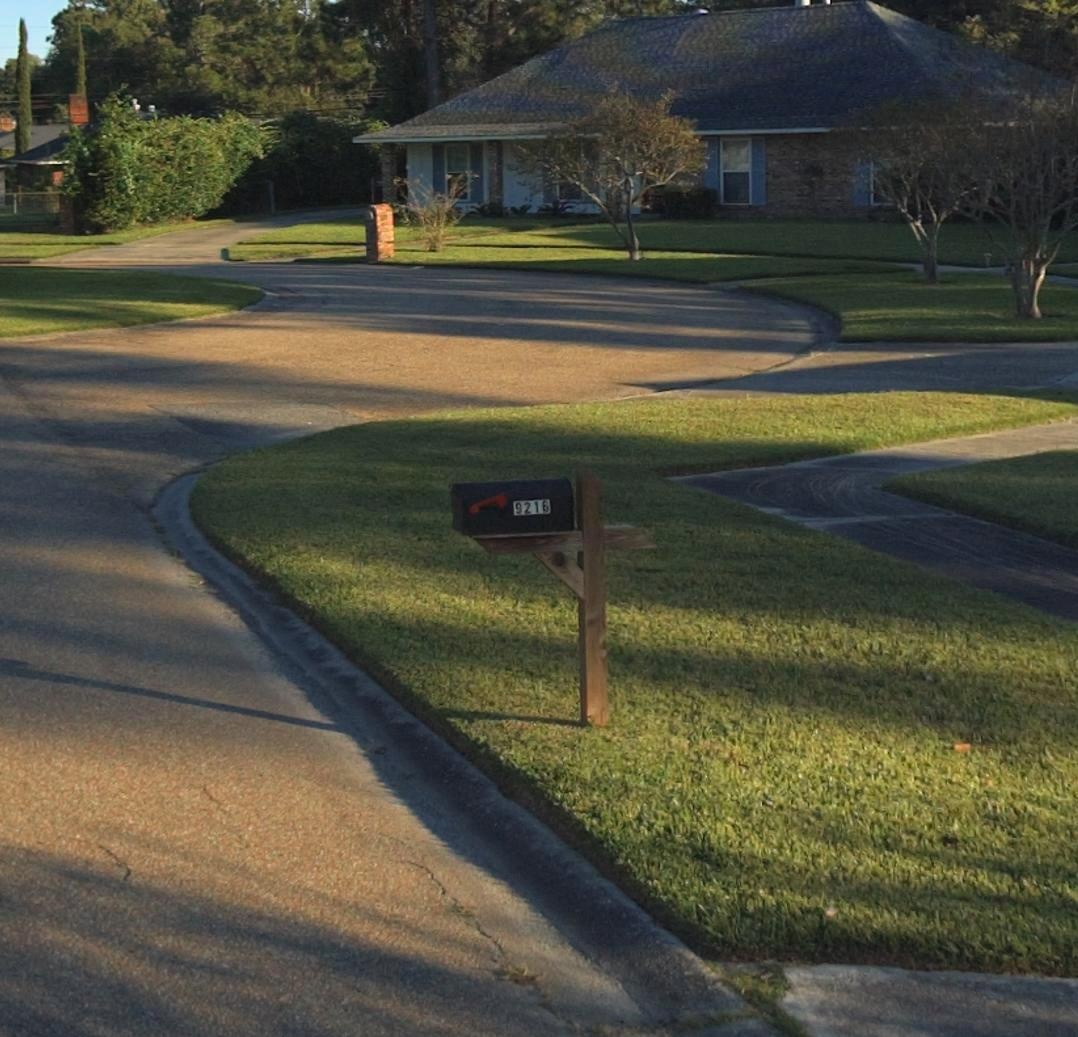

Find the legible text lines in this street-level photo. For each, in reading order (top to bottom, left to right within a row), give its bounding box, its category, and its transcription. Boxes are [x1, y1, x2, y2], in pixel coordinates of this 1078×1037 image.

[515, 500, 550, 515] StreetNumber: 9216